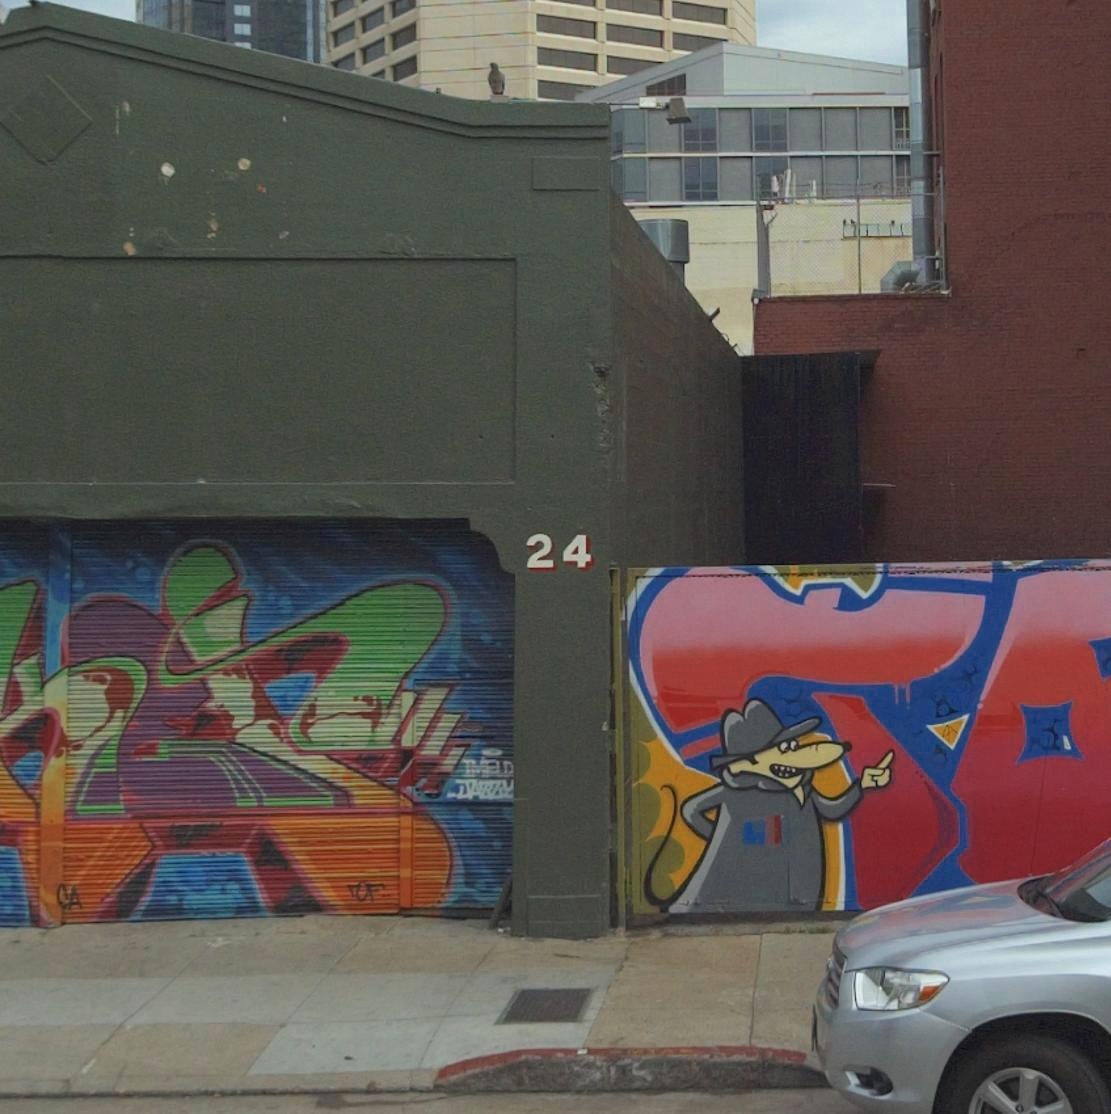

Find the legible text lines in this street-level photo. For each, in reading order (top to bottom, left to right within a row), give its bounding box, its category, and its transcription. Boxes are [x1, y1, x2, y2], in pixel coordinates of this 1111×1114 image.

[525, 531, 594, 572] StreetNumber: 24
[946, 724, 960, 742] None: A
[53, 883, 85, 911] None: CA
[342, 879, 387, 904] None: **P